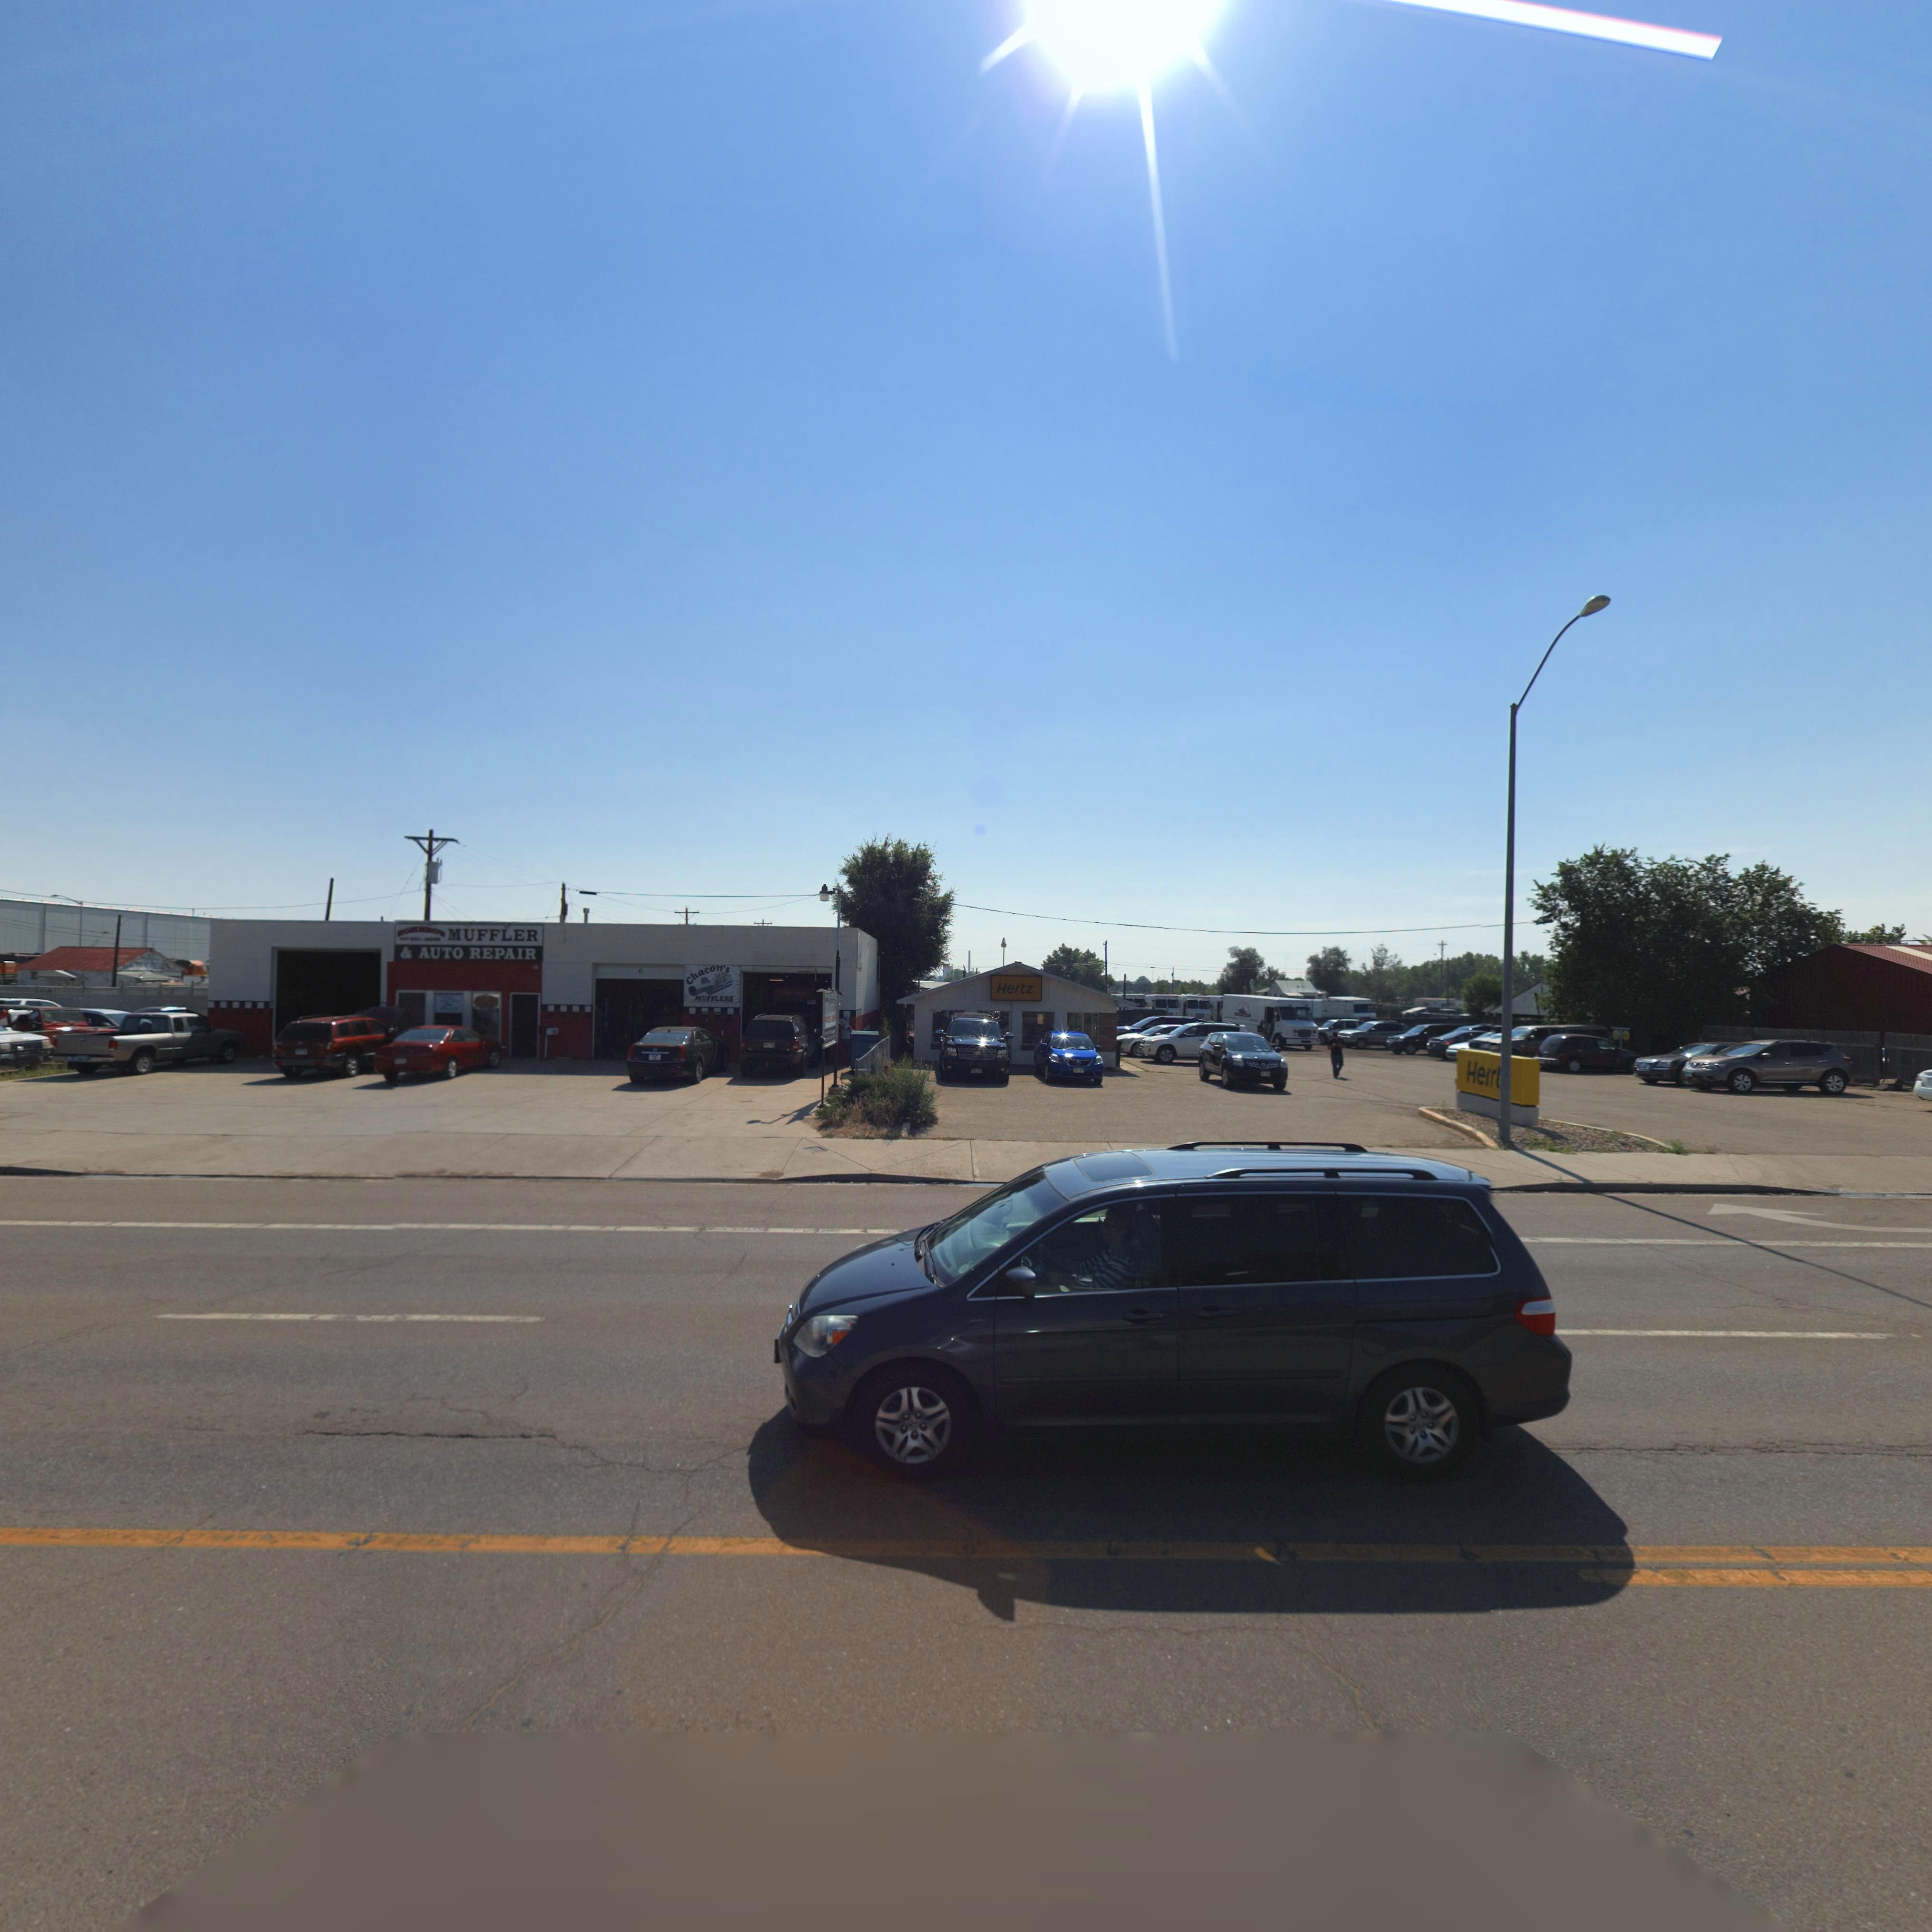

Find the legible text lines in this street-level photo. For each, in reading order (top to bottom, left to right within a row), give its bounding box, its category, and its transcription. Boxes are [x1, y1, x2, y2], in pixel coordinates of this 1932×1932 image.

[397, 926, 445, 938] BusinessName: *O****O*
[447, 928, 538, 941] BusinessName: MUFFLER
[400, 946, 536, 960] BusinessName: * AUTO REPAIR
[686, 965, 730, 985] BusinessName: Chacon's
[996, 983, 1034, 994] BusinessName: Hertz
[695, 995, 734, 1001] BusinessName: MUFFLERS
[1466, 1060, 1500, 1089] BusinessName: Herr*